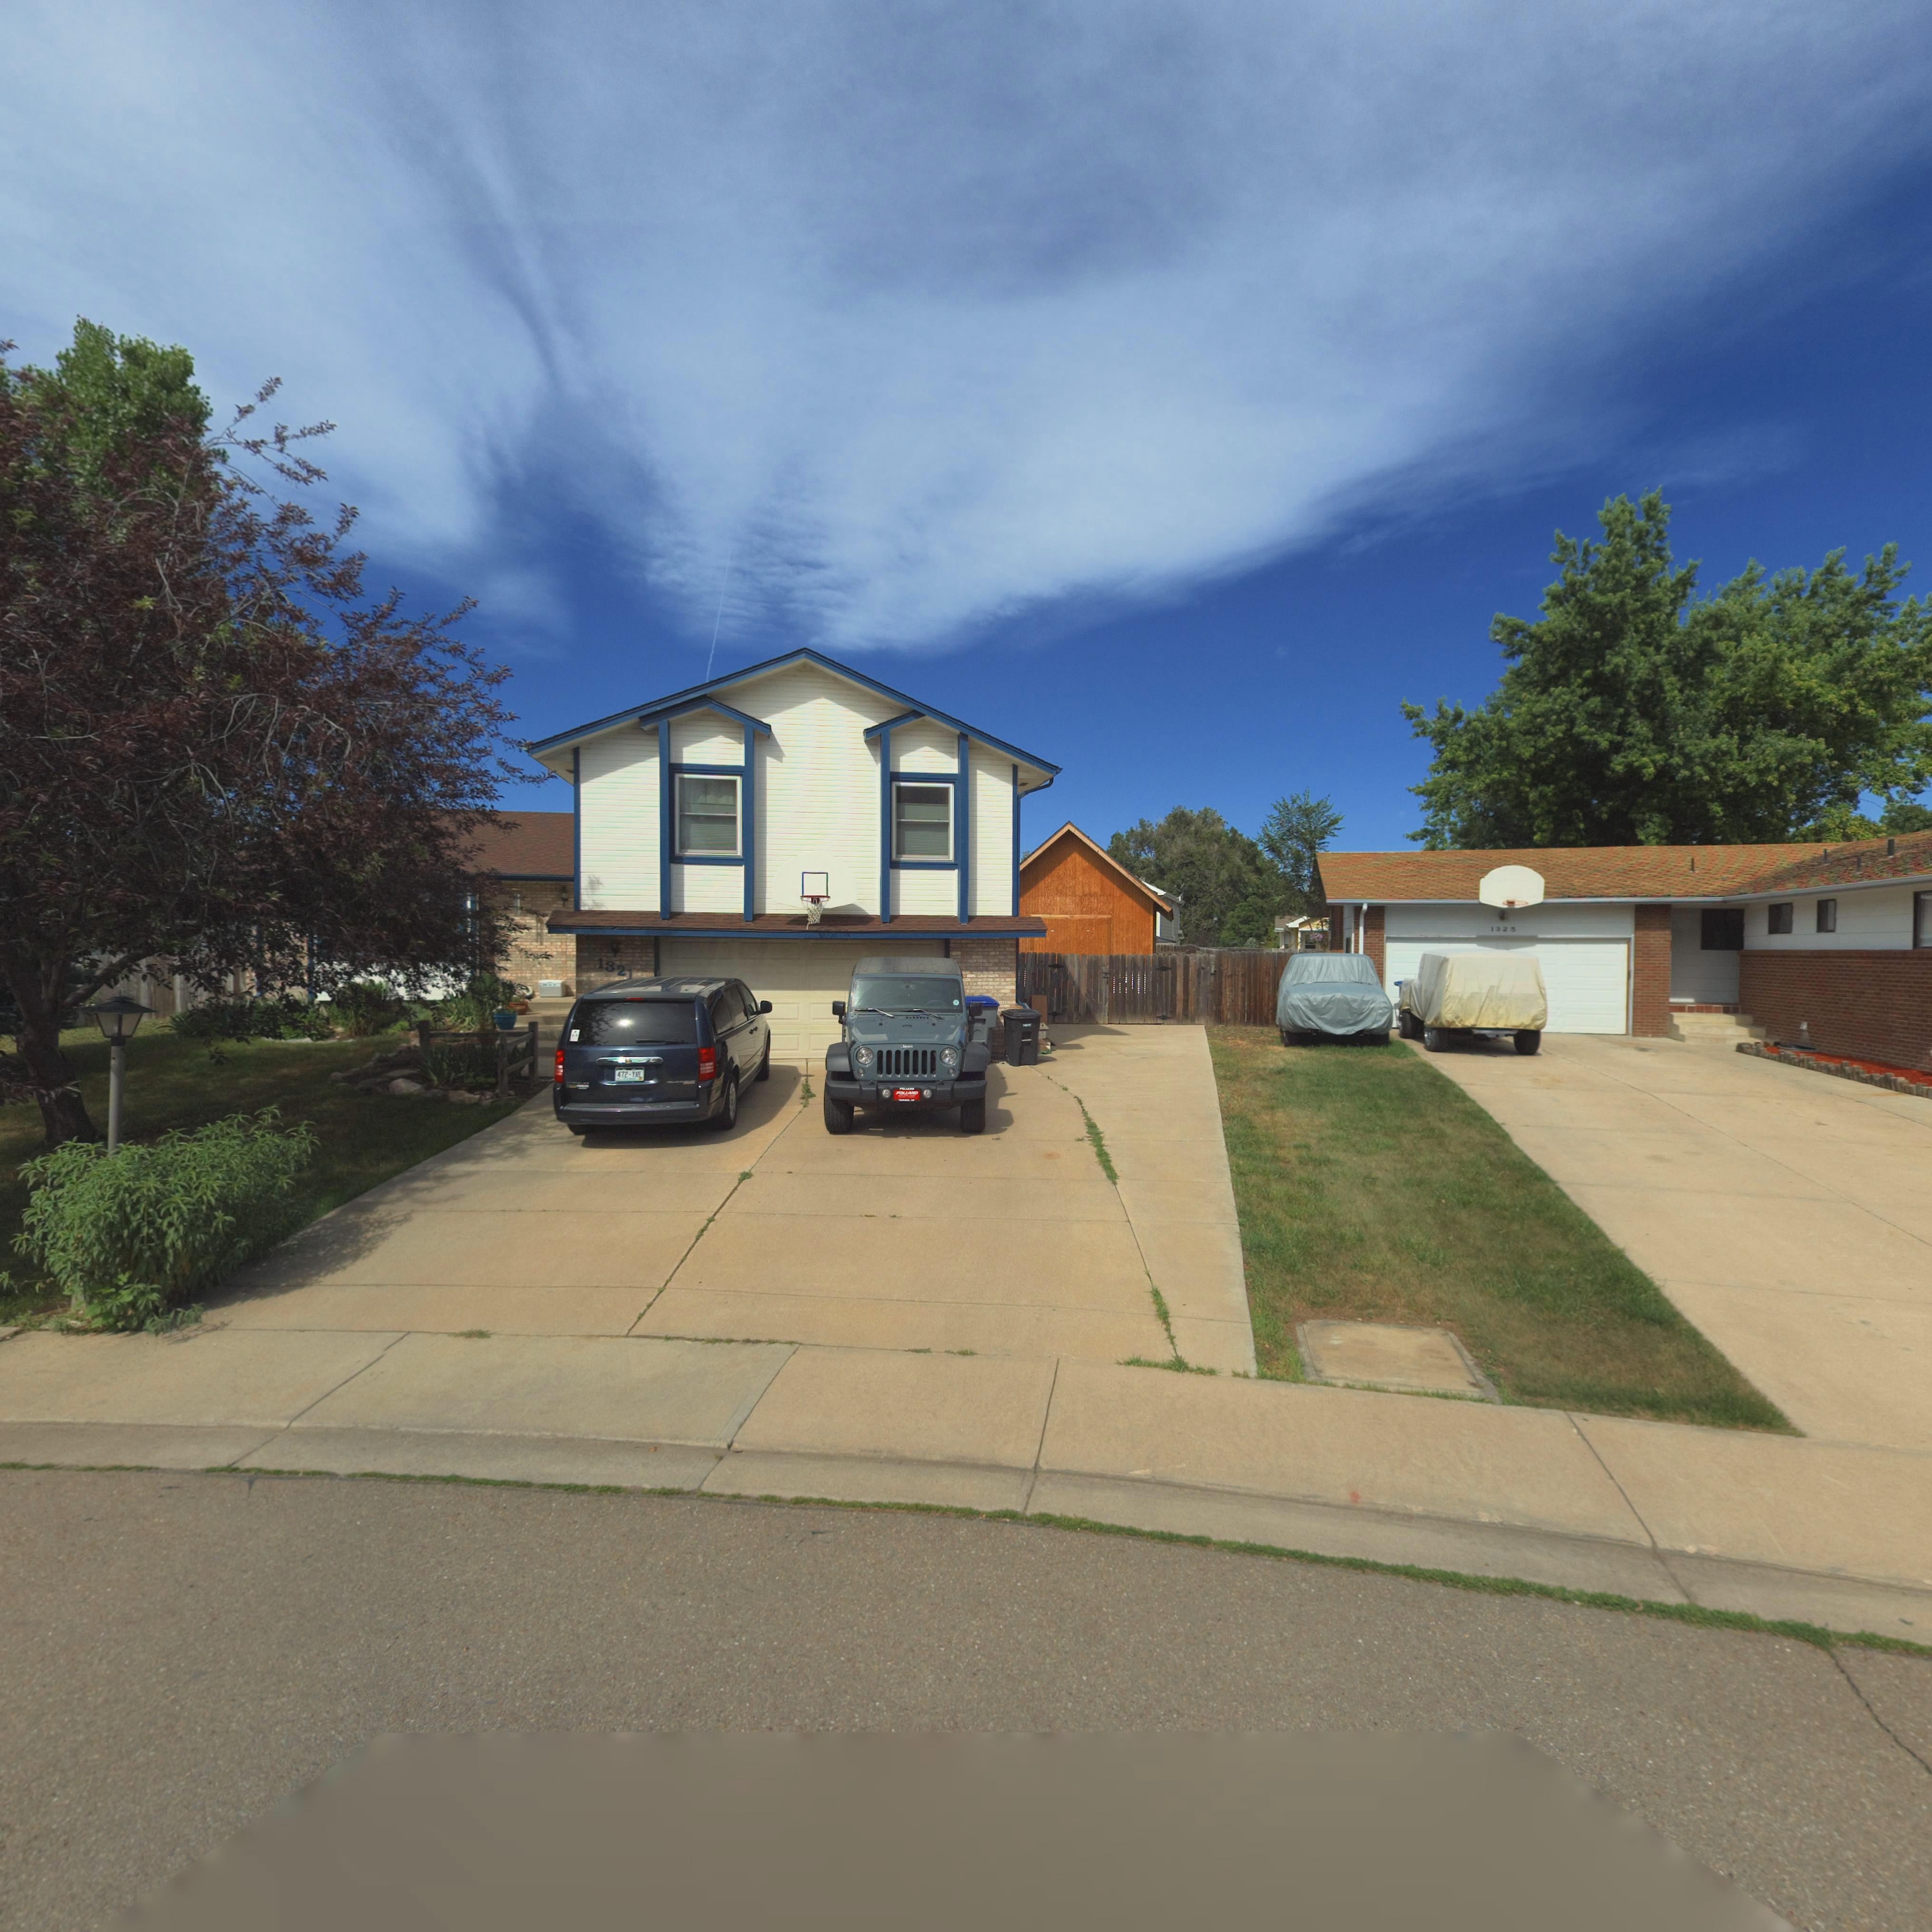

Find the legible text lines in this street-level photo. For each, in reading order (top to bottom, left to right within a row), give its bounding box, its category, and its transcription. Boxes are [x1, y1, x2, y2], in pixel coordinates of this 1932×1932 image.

[1490, 926, 1516, 932] StreetNumber: 1325
[597, 957, 633, 979] StreetNumber: 1321